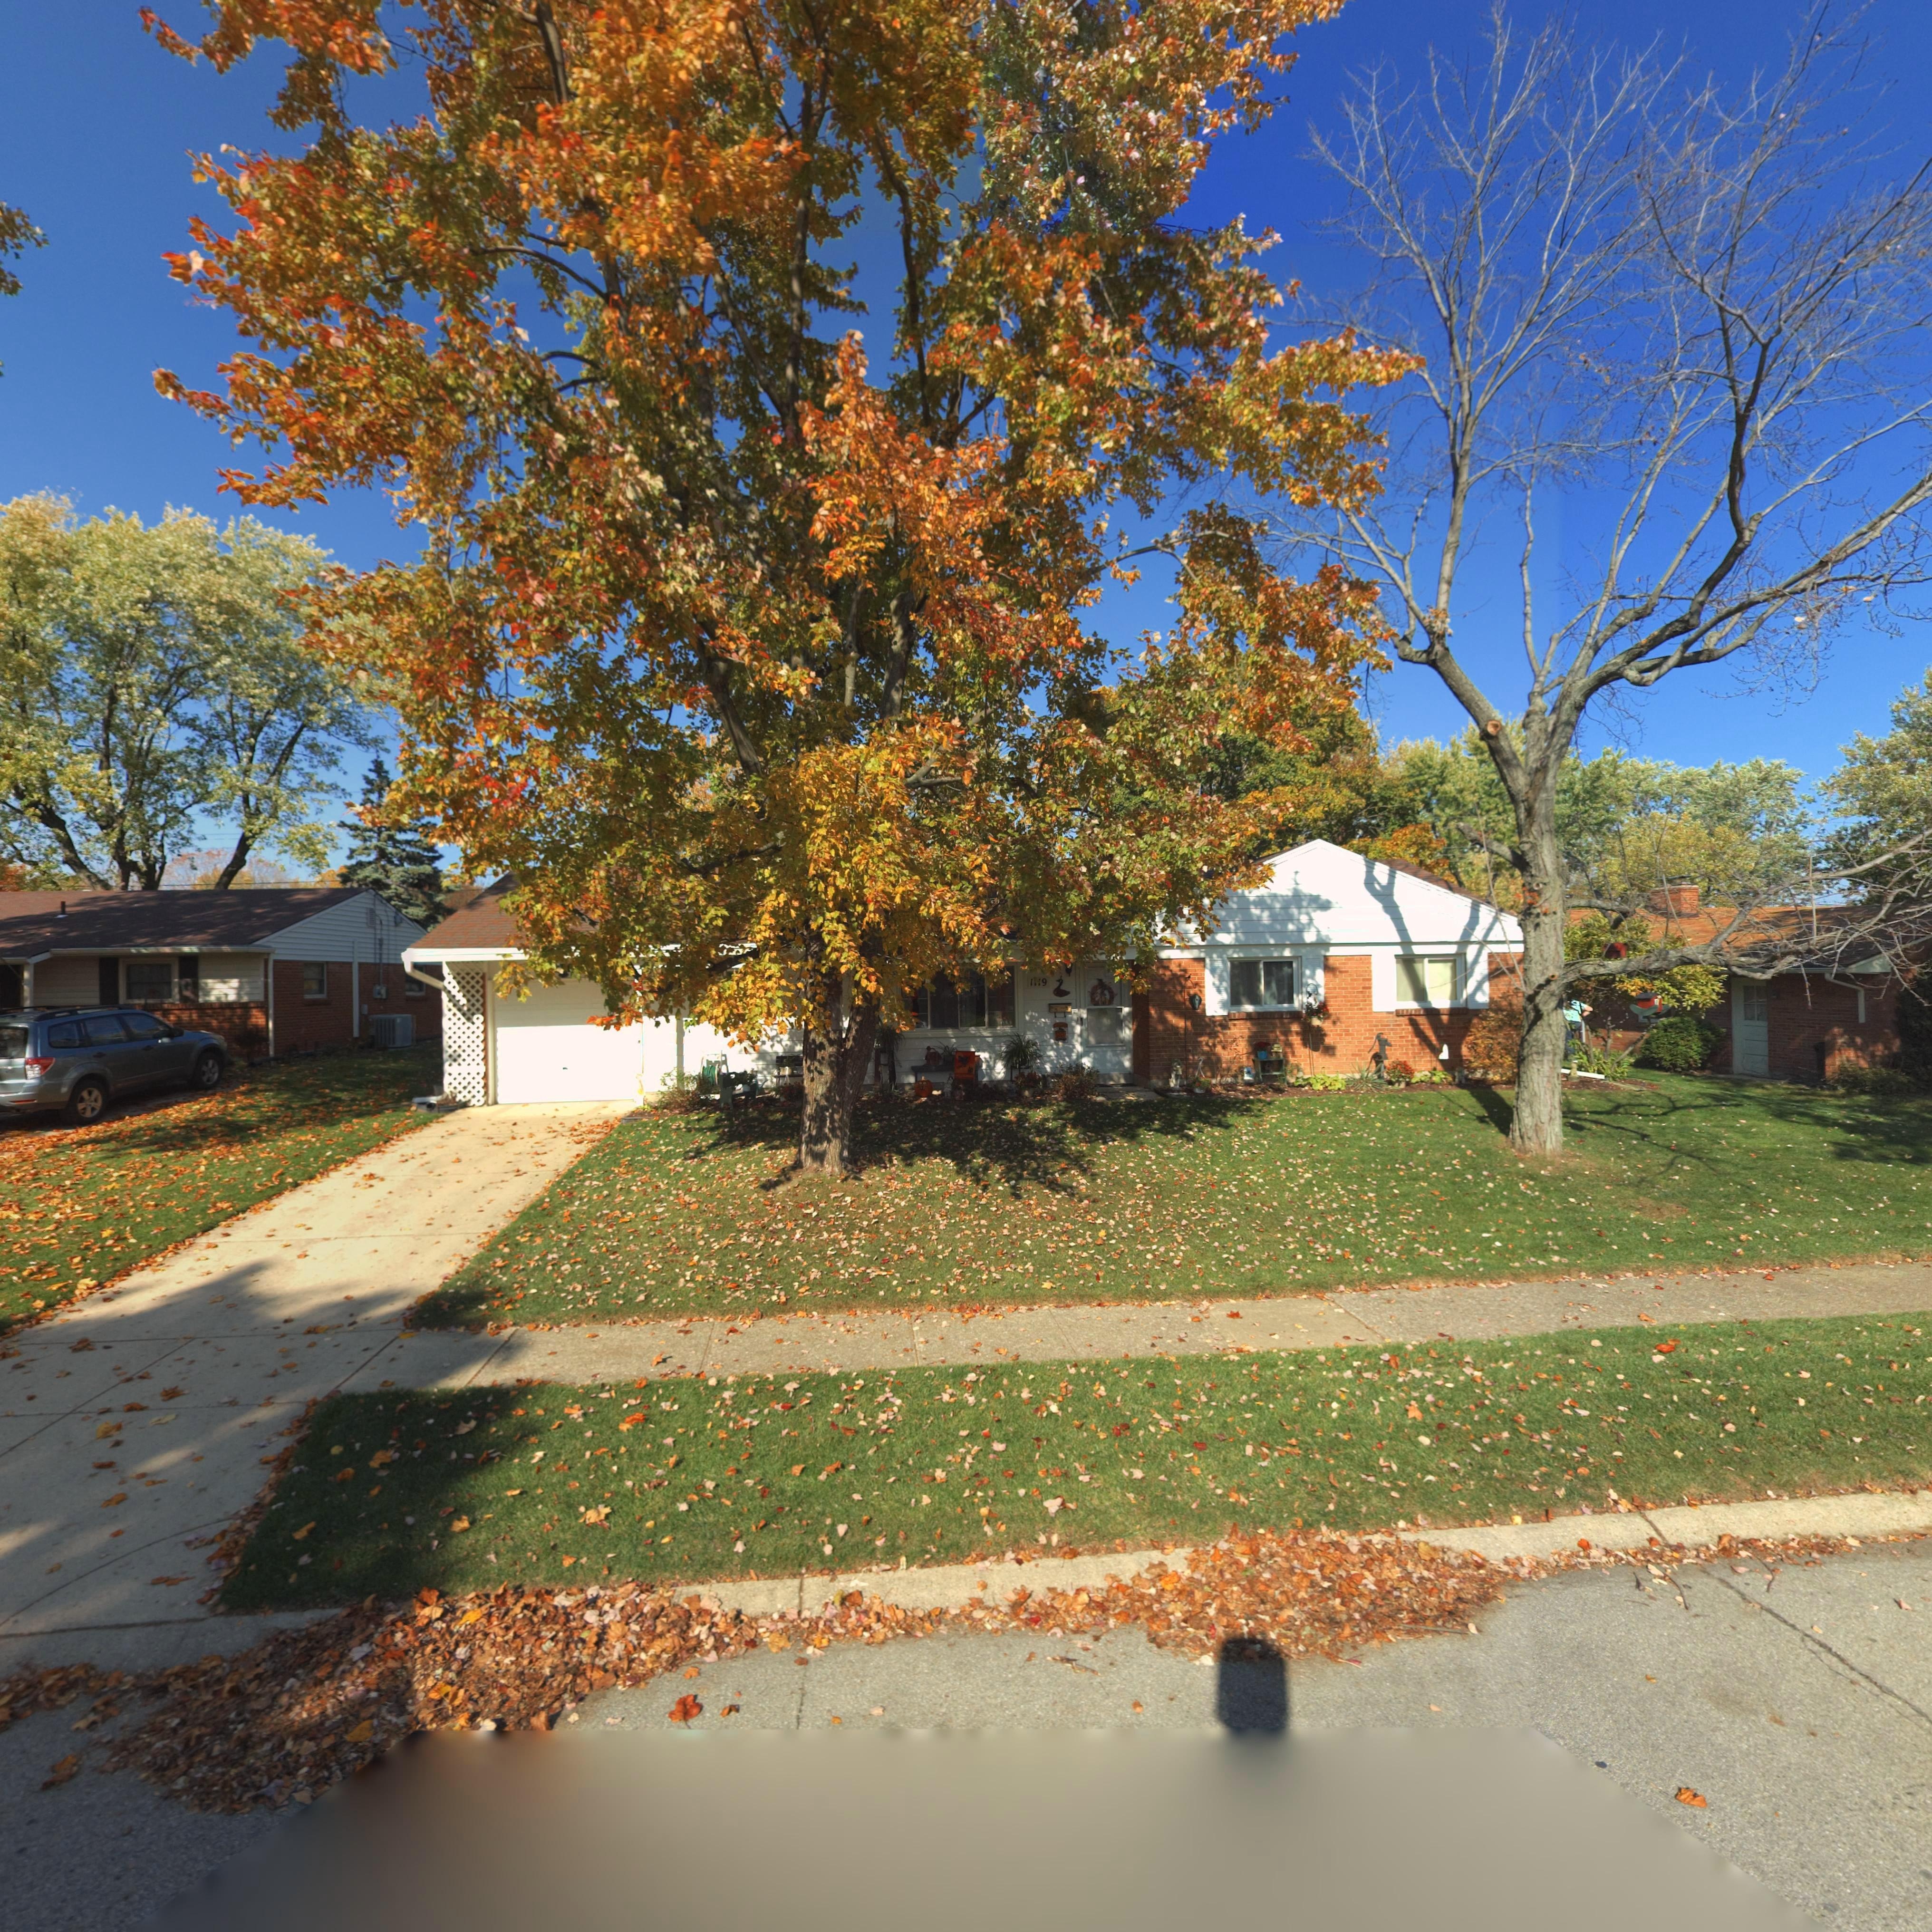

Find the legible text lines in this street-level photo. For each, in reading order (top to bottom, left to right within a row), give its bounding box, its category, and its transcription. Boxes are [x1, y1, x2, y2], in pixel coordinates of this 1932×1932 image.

[1029, 977, 1048, 987] StreetNumber: 1**9